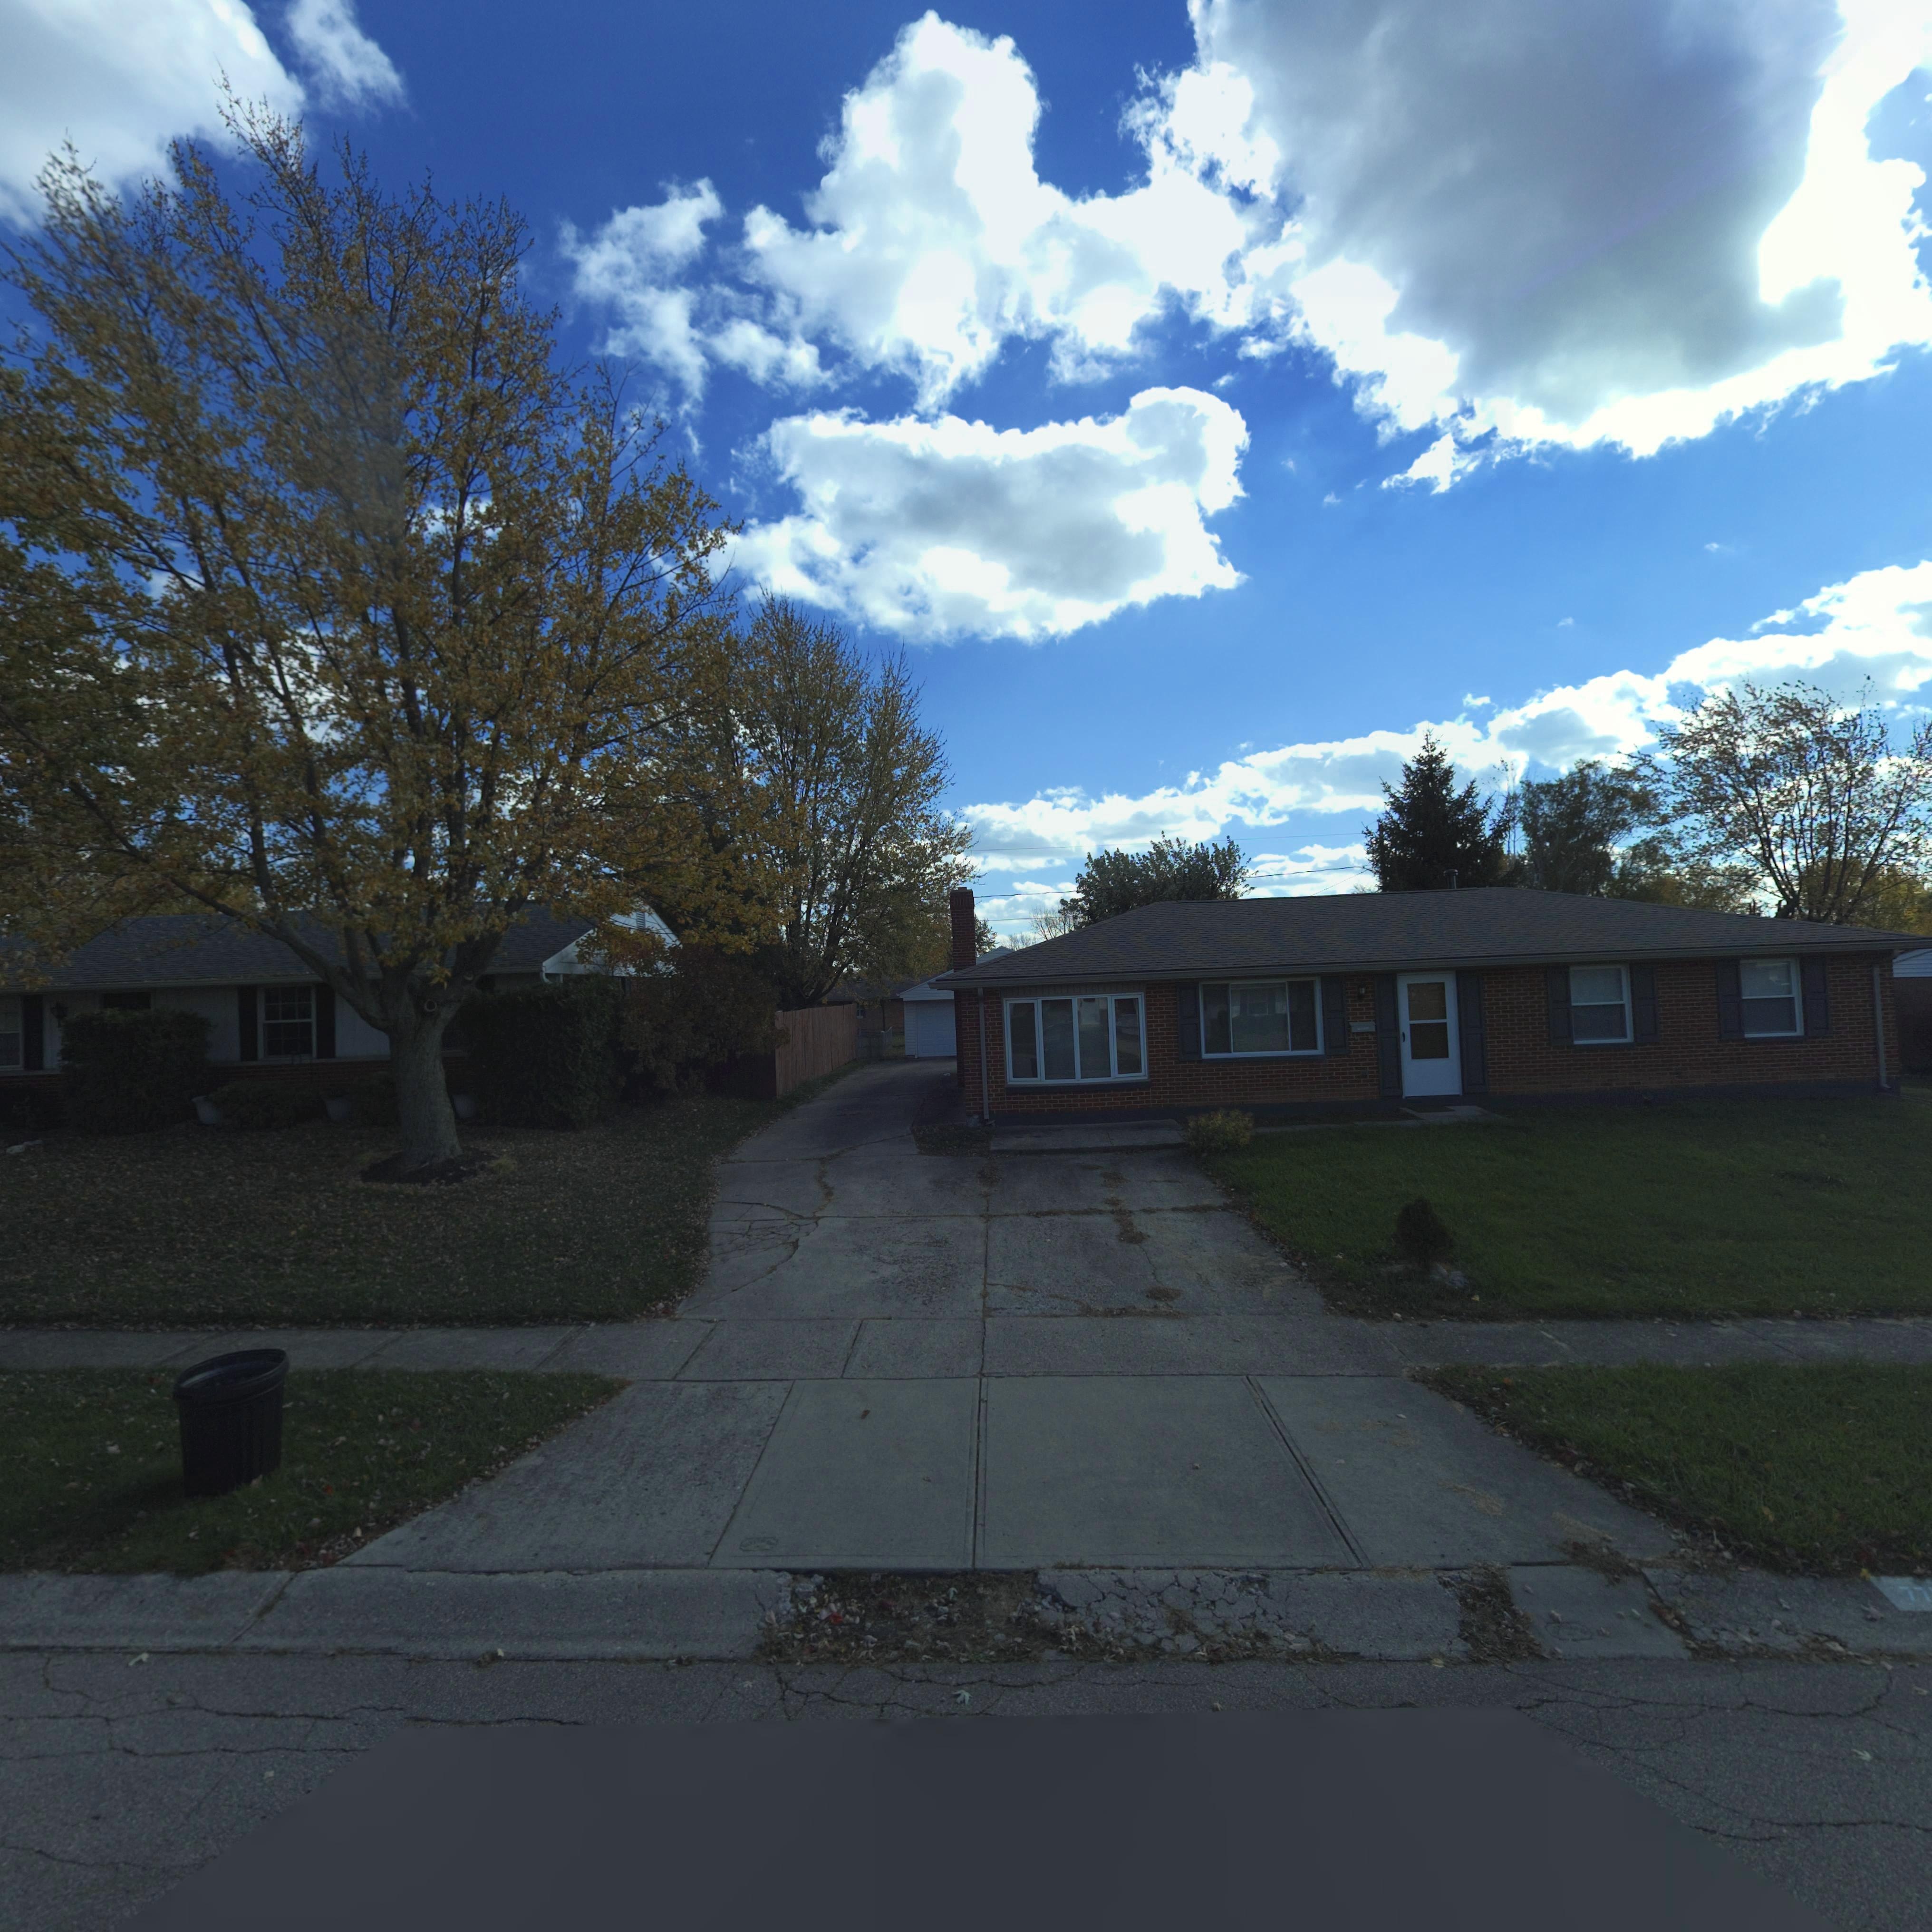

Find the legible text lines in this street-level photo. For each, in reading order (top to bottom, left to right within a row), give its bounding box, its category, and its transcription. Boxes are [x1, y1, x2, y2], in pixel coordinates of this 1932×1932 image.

[1895, 1585, 1932, 1603] StreetNumber: 77